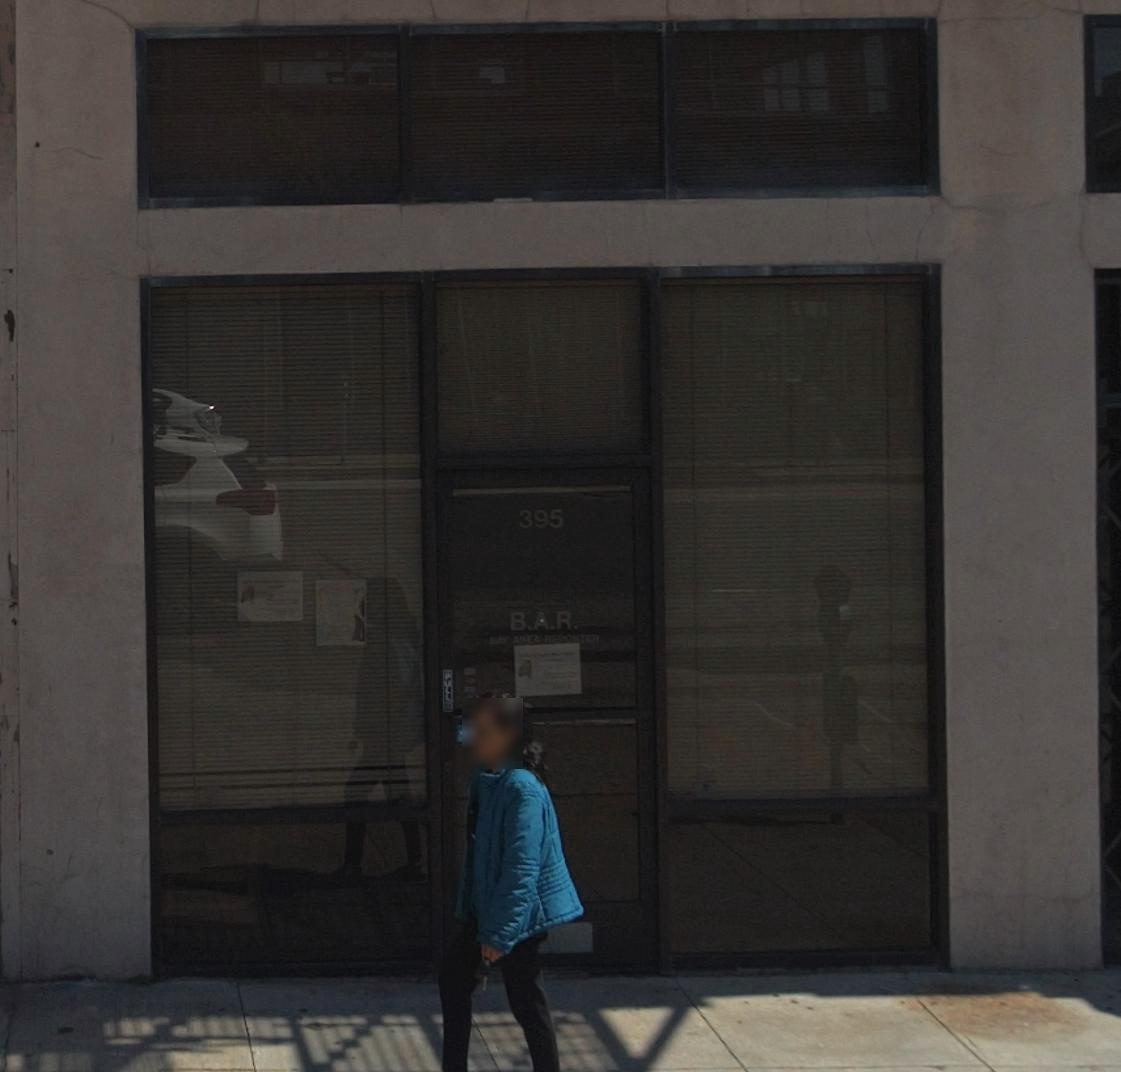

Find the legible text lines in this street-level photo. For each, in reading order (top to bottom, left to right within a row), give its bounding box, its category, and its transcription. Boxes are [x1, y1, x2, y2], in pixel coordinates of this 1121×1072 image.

[518, 508, 564, 530] StreetNumber: 395
[510, 611, 579, 632] BusinessName: B.A.R.
[488, 635, 543, 646] BusinessName: *AY A*EA
[443, 672, 452, 701] None: PULL